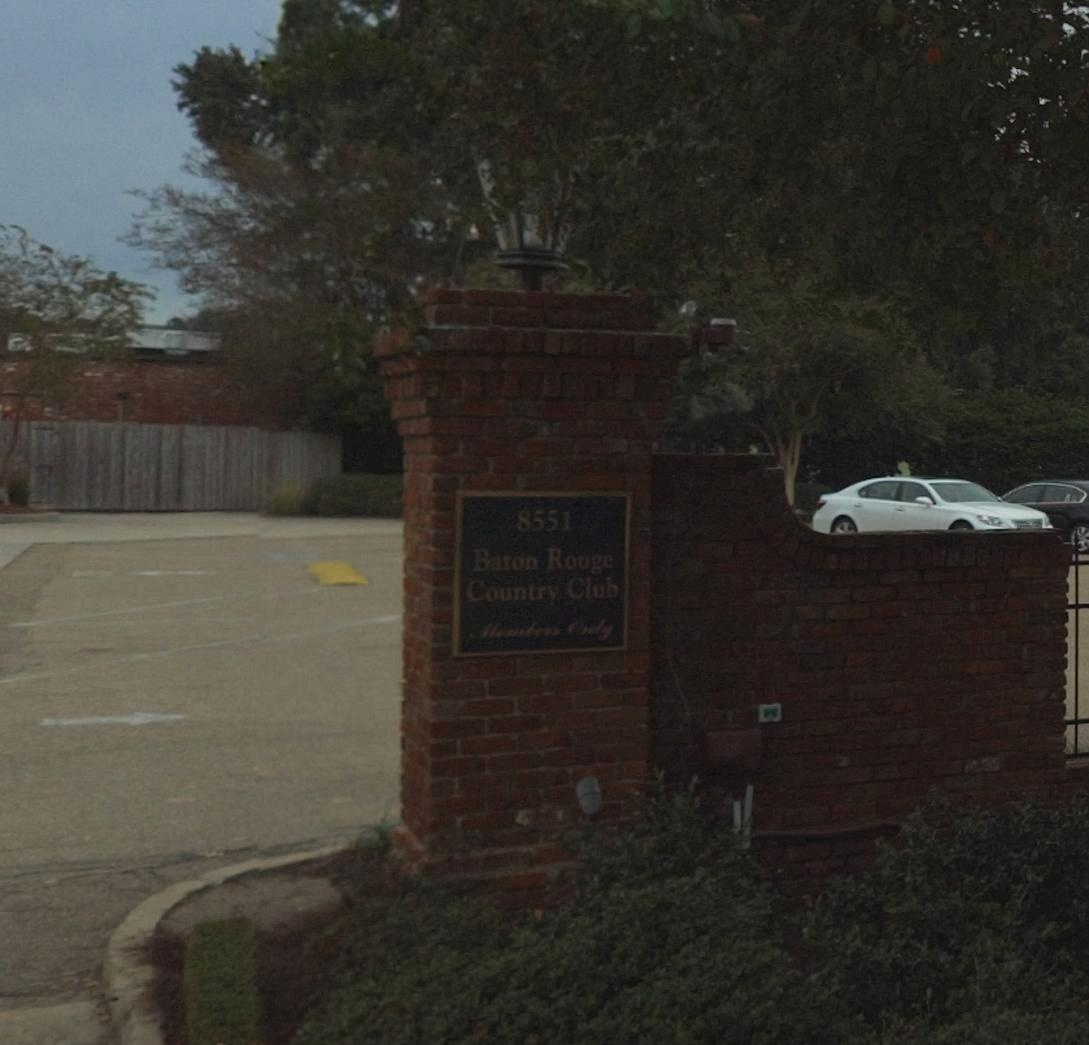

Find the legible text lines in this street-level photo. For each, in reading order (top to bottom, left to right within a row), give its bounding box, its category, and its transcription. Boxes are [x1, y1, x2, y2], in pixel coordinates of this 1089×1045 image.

[516, 509, 574, 533] StreetNumber: 8551
[471, 547, 615, 576] BusinessName: Baton Rouge
[466, 573, 619, 603] BusinessName: Country Club
[468, 617, 616, 642] None: Member's Only